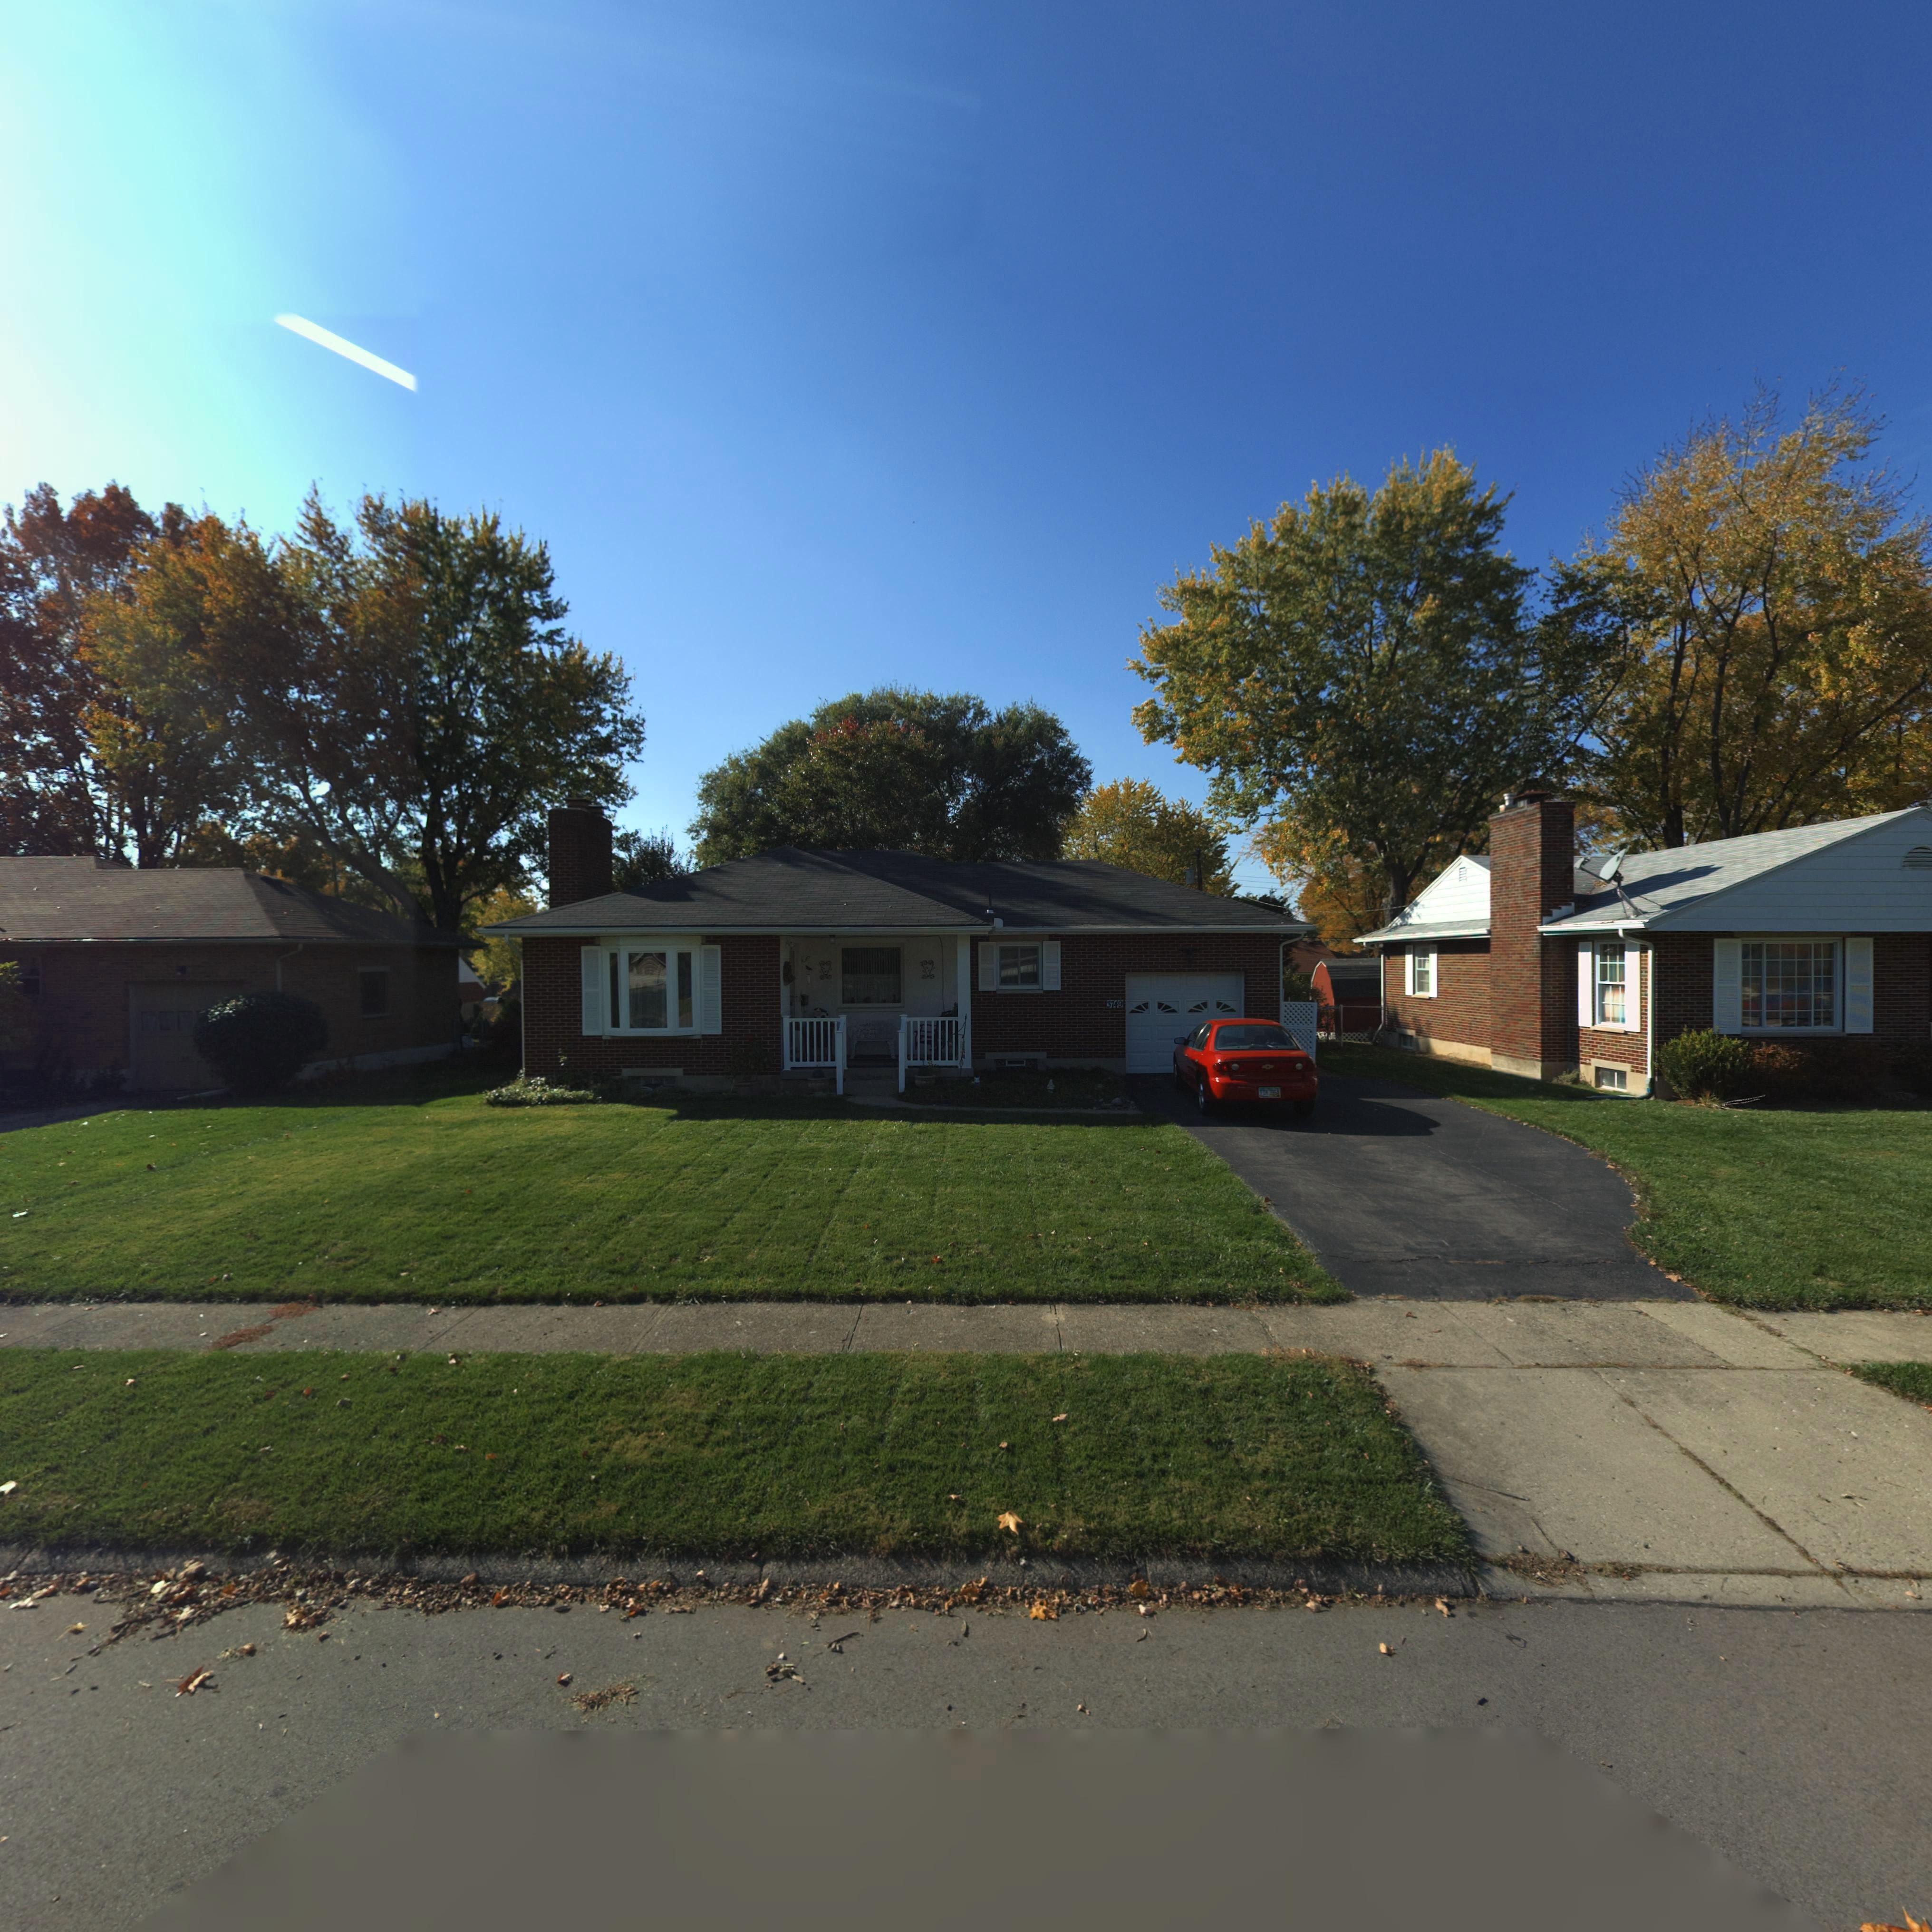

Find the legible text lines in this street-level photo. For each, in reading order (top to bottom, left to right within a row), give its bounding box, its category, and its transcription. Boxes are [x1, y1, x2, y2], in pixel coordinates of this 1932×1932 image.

[1107, 1000, 1123, 1009] StreetNumber: 3749